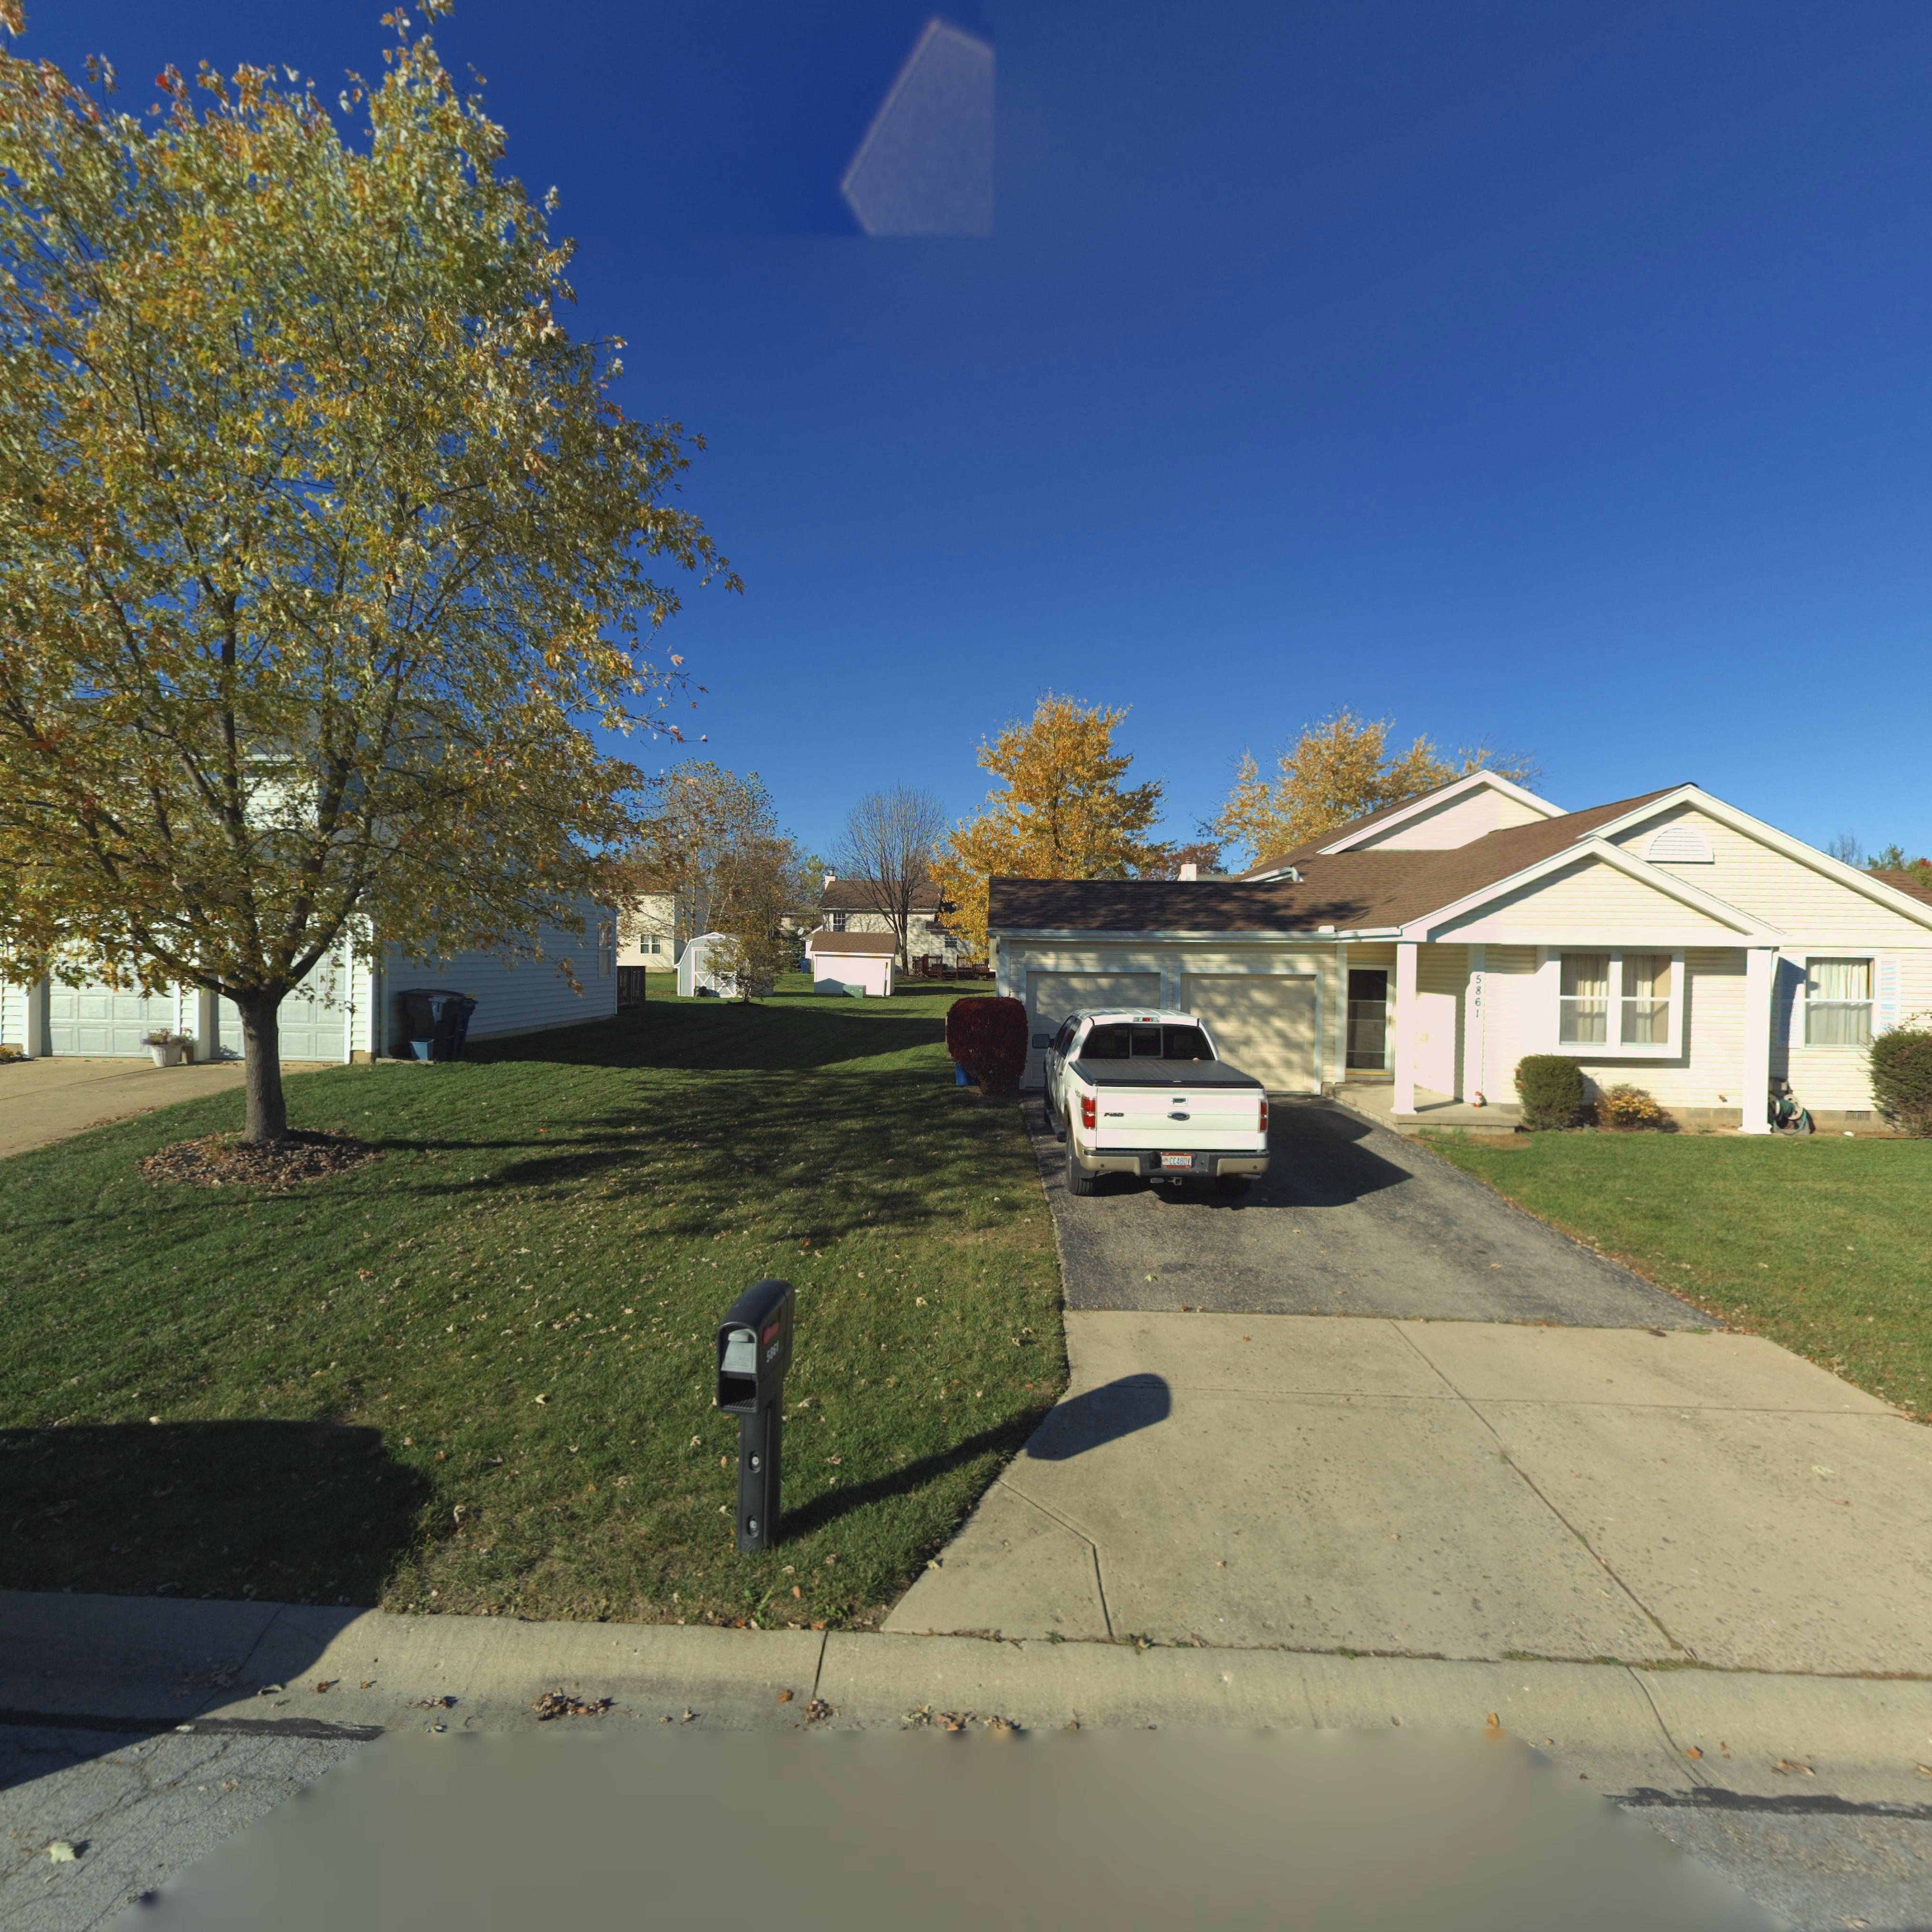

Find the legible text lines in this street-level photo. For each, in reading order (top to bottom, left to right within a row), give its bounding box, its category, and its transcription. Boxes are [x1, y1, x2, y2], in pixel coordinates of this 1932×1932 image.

[1475, 973, 1483, 1019] StreetNumber: 5861
[765, 1337, 781, 1364] StreetNumber: 5*61